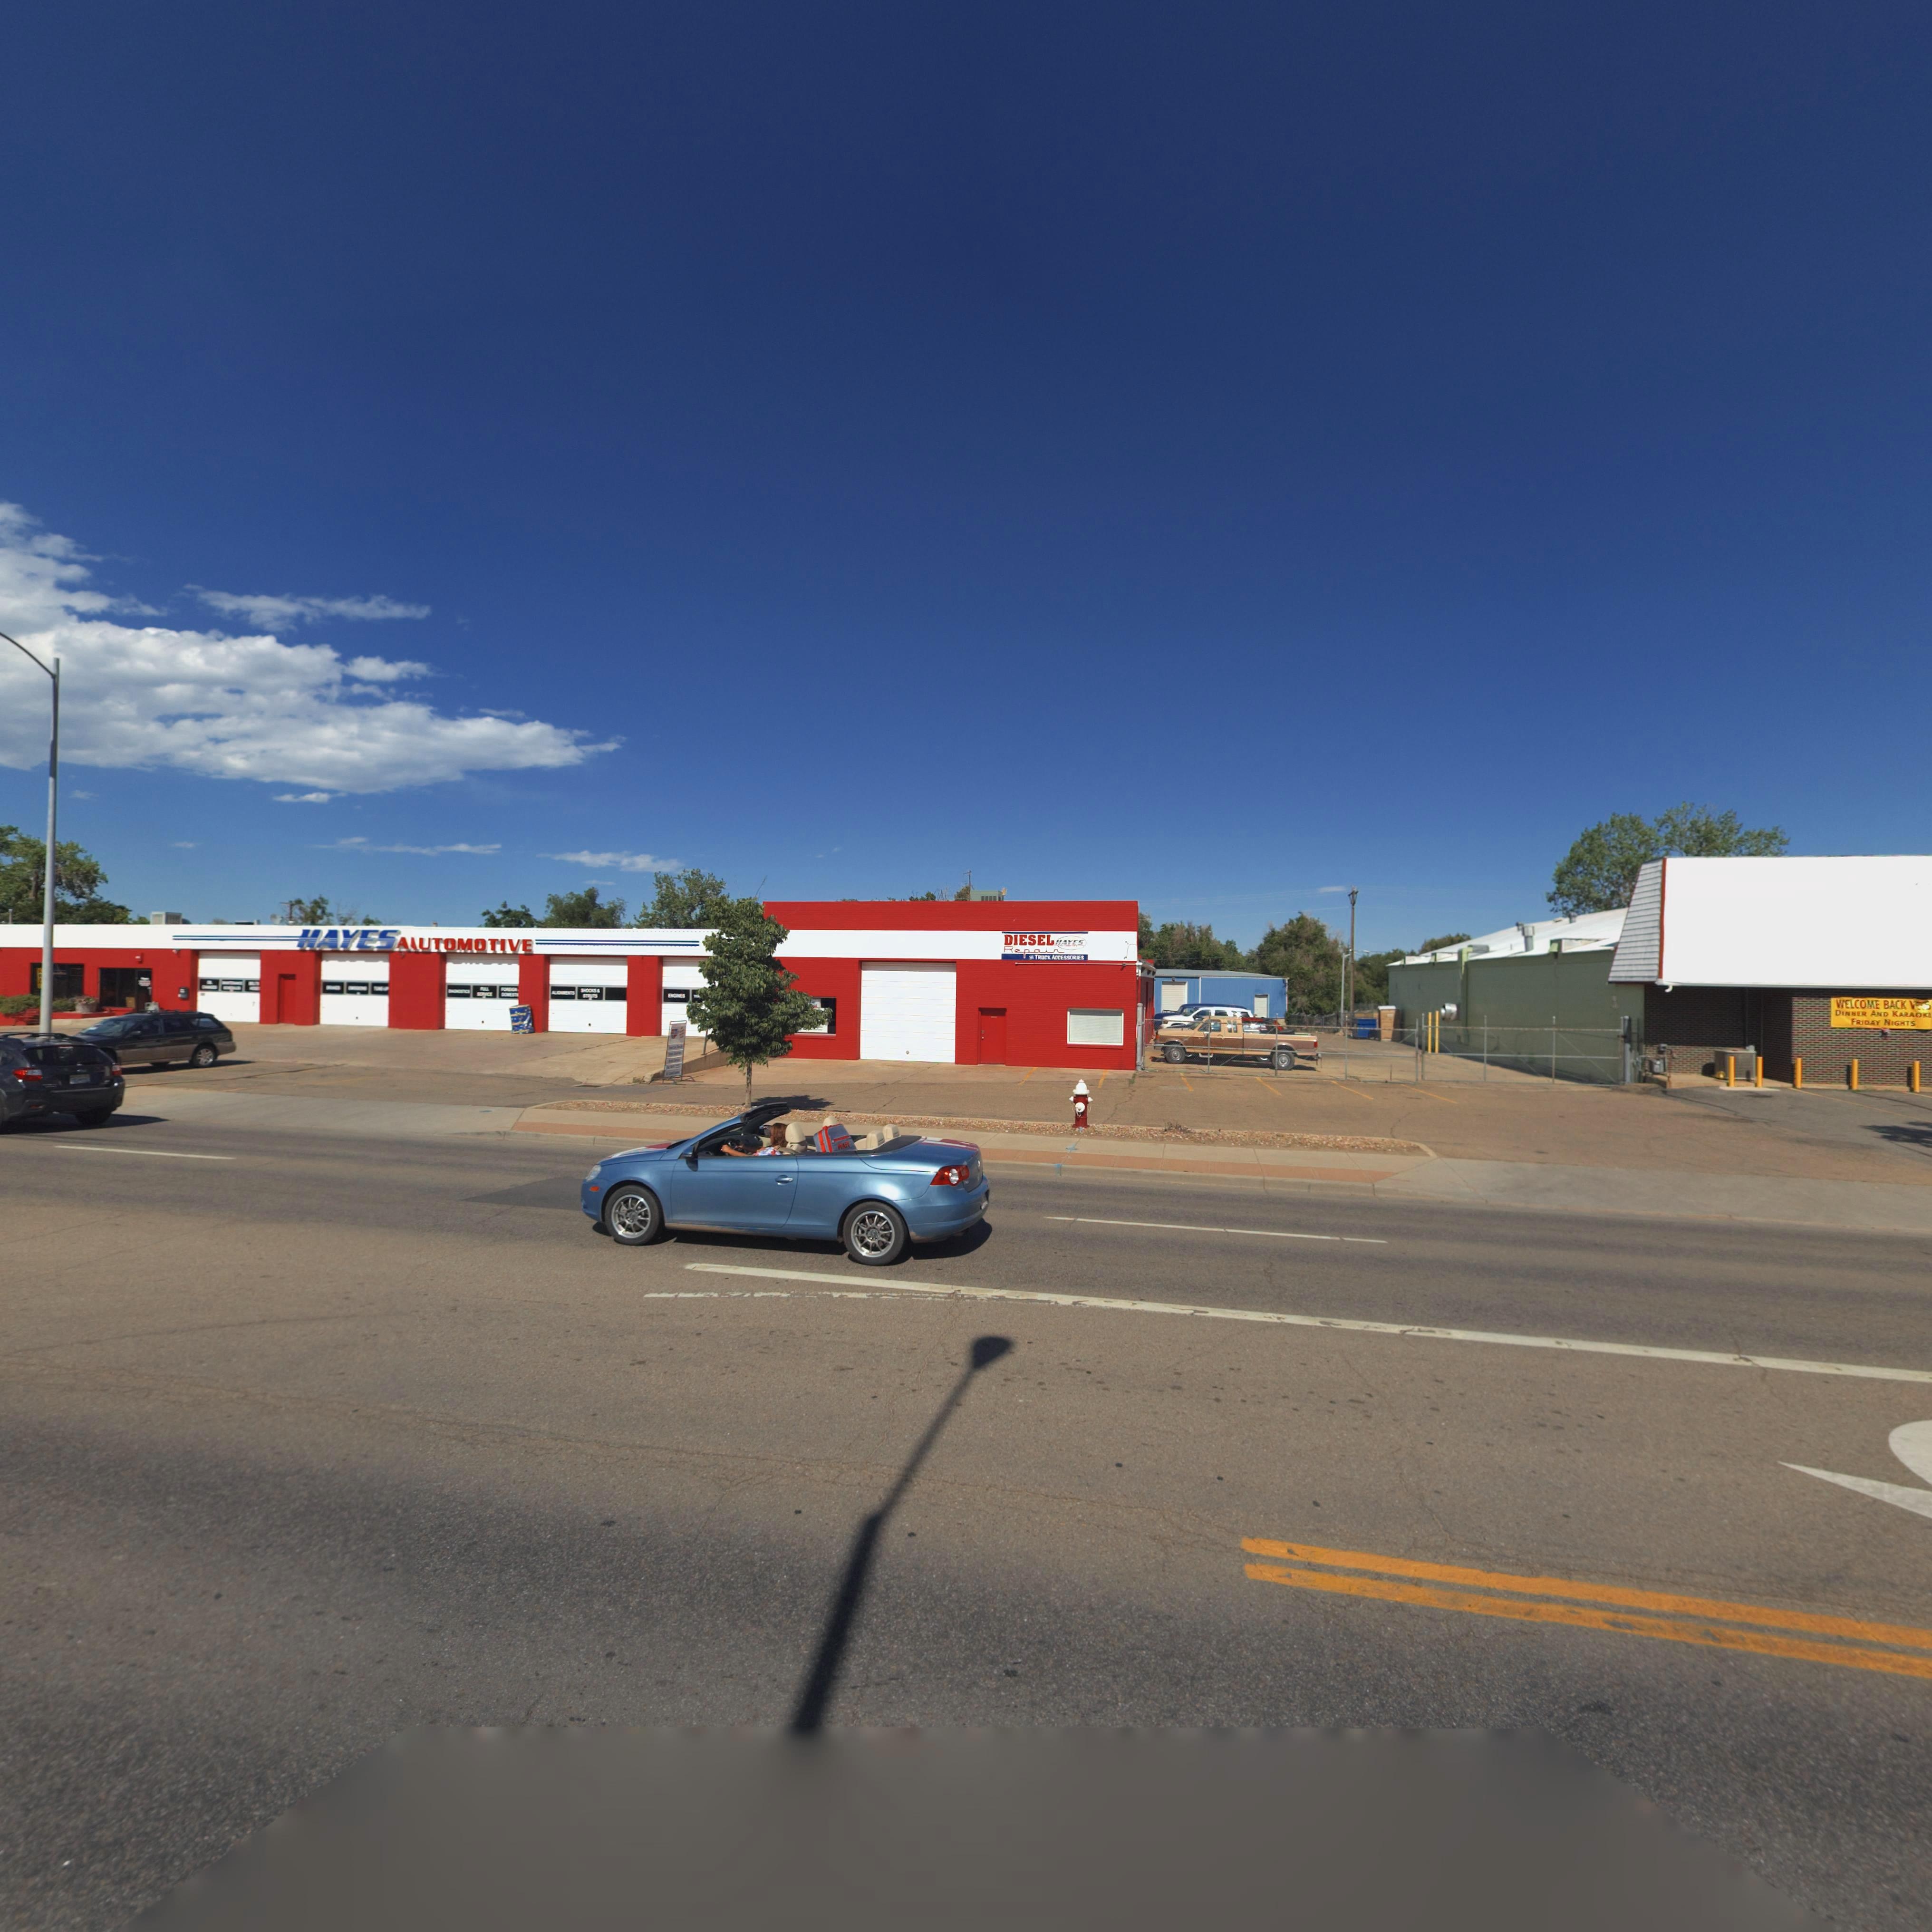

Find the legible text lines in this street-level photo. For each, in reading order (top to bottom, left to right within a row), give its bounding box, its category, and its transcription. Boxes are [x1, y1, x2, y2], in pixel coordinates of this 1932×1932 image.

[295, 928, 400, 949] BusinessName: HAYES
[395, 936, 532, 952] BusinessName: A*UTOMOTIVE
[1054, 939, 1085, 946] BusinessName: HAYES